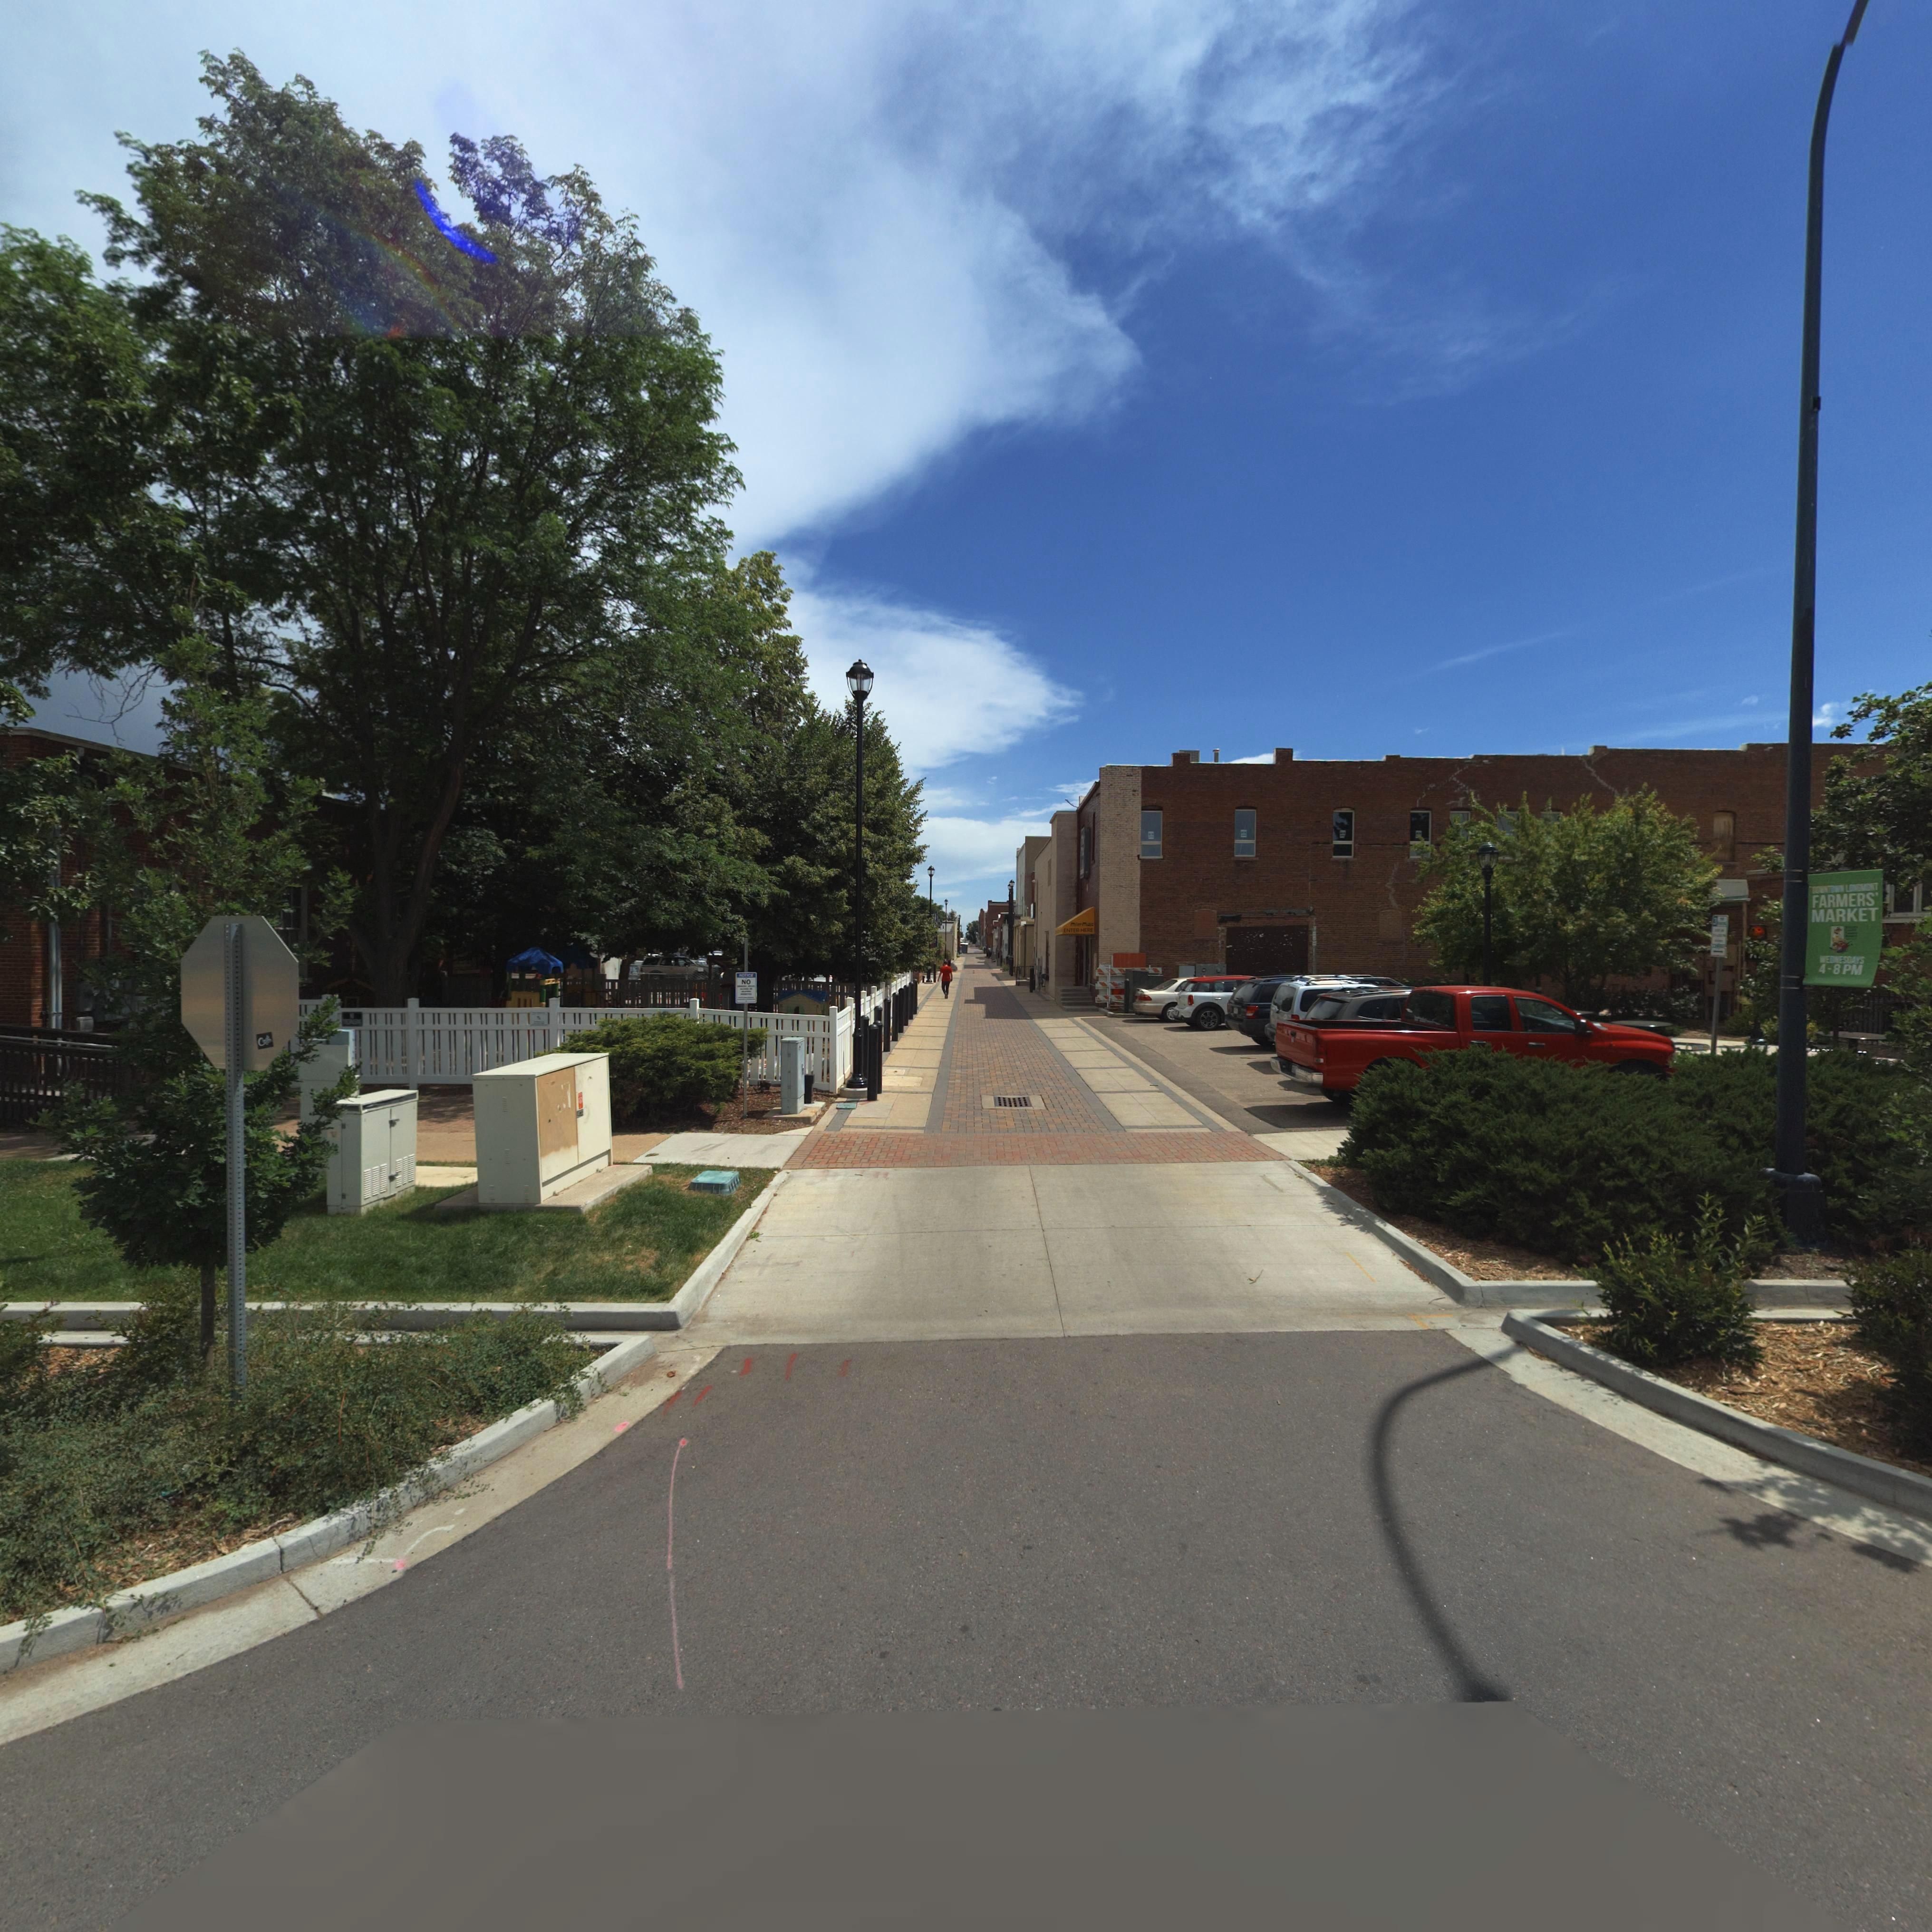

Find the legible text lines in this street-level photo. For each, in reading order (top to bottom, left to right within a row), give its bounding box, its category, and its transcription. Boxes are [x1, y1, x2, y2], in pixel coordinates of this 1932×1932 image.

[1070, 922, 1093, 926] BusinessName: M*i*r Magic